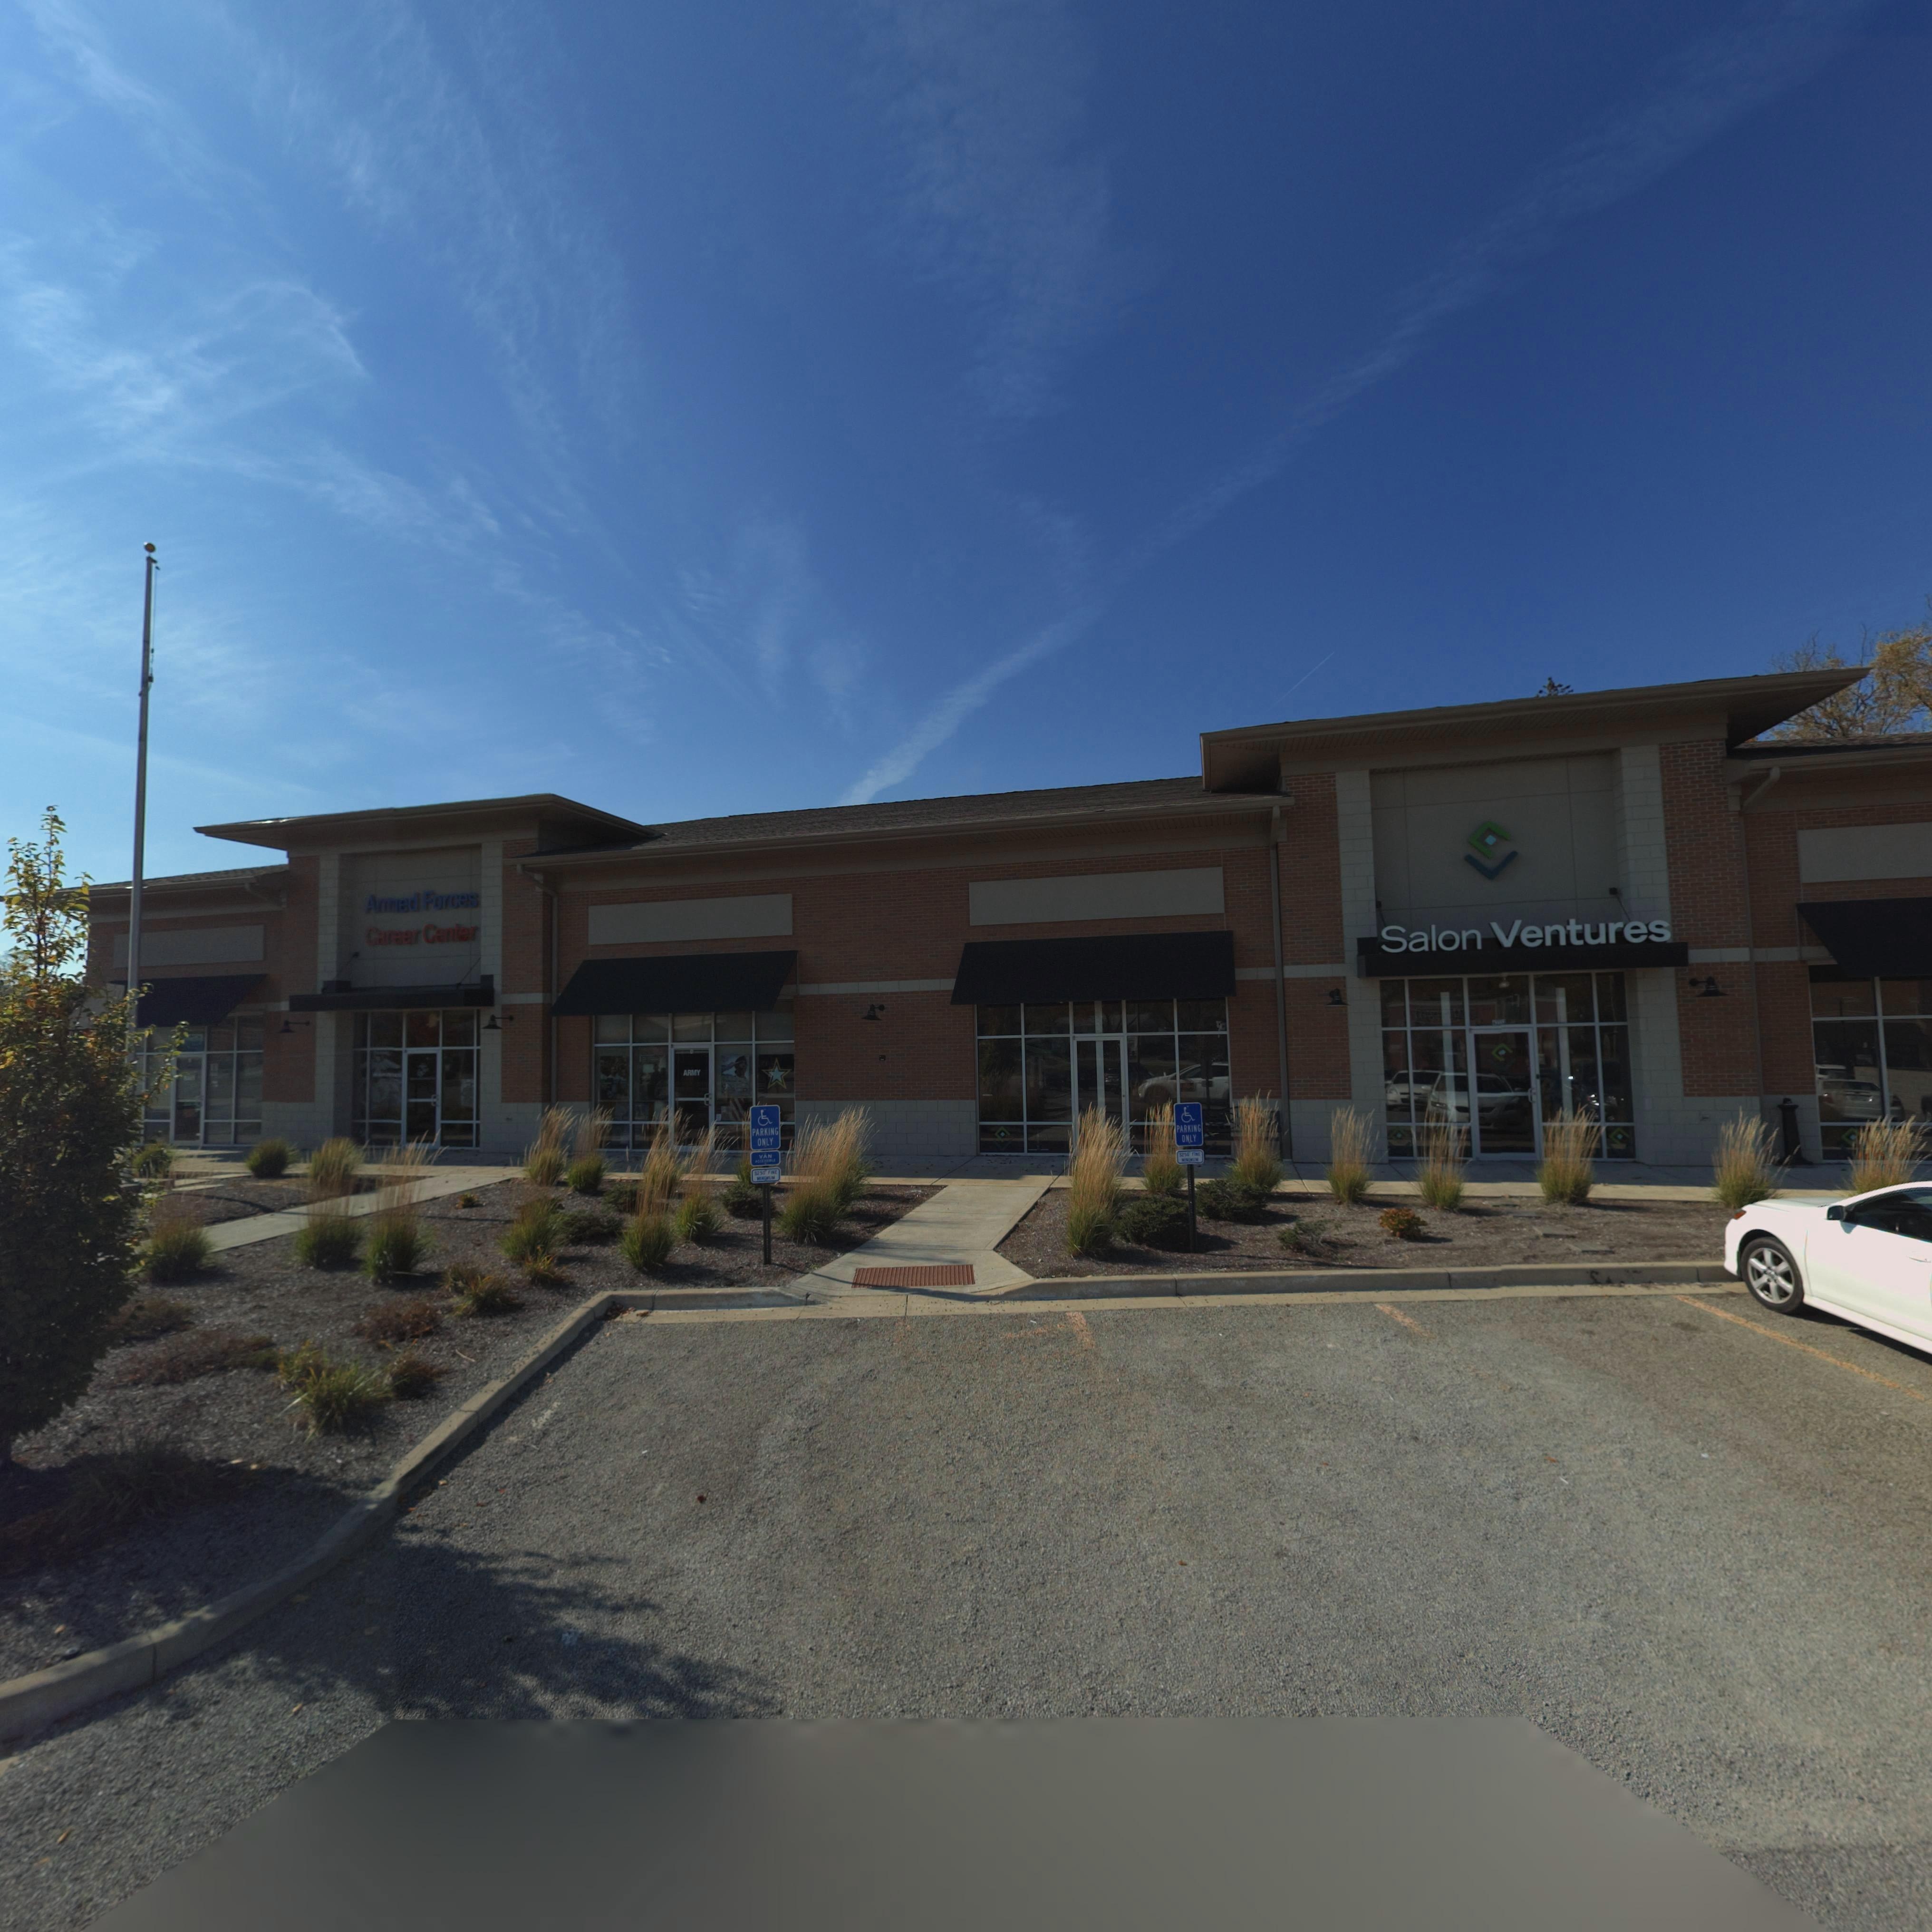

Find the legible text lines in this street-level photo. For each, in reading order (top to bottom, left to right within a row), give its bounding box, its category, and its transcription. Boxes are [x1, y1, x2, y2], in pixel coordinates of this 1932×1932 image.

[363, 889, 480, 915] BusinessName: Armed Forces
[364, 921, 478, 948] BusinessName: Career Center
[1379, 917, 1673, 955] BusinessName: Salon Ventures